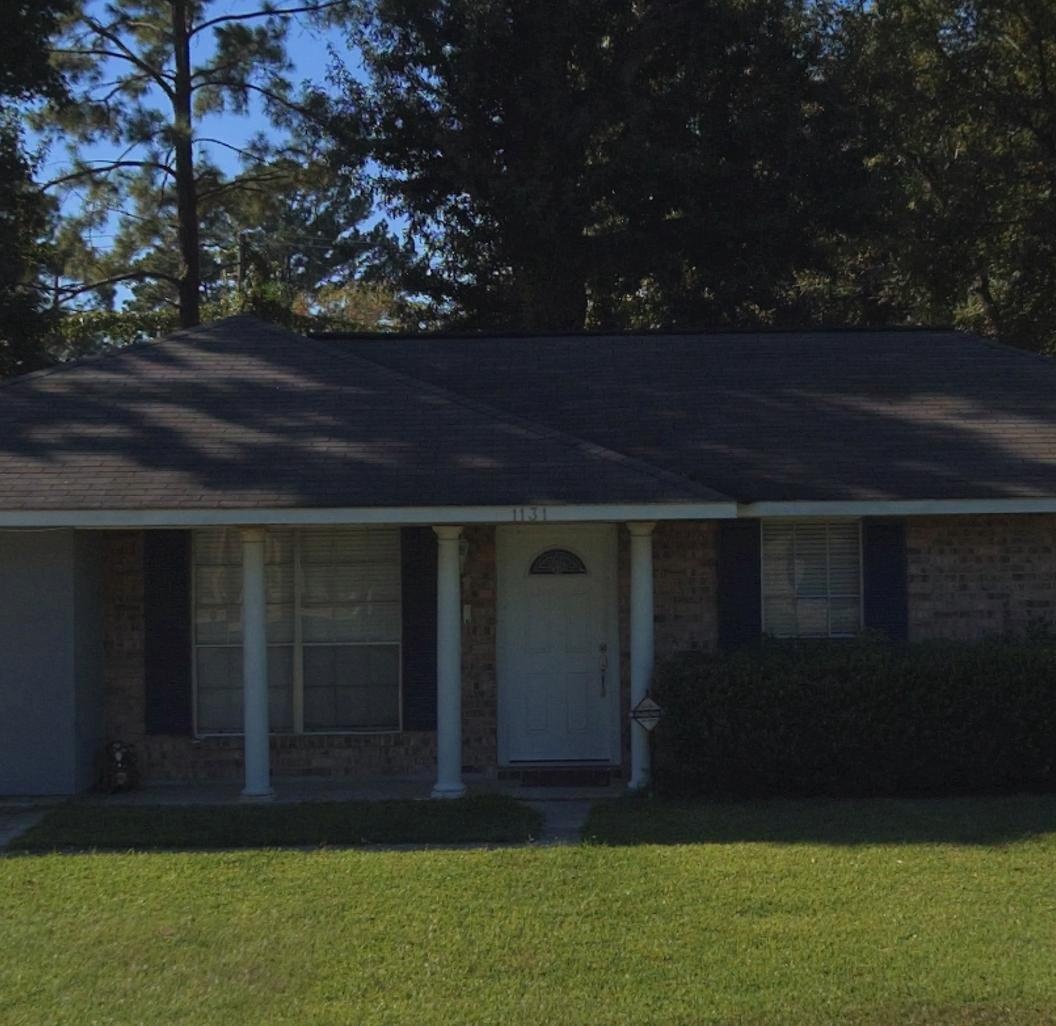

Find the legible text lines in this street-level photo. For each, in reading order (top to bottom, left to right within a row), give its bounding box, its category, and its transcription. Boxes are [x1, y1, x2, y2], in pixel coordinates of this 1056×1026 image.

[511, 507, 547, 521] StreetNumber: 1131